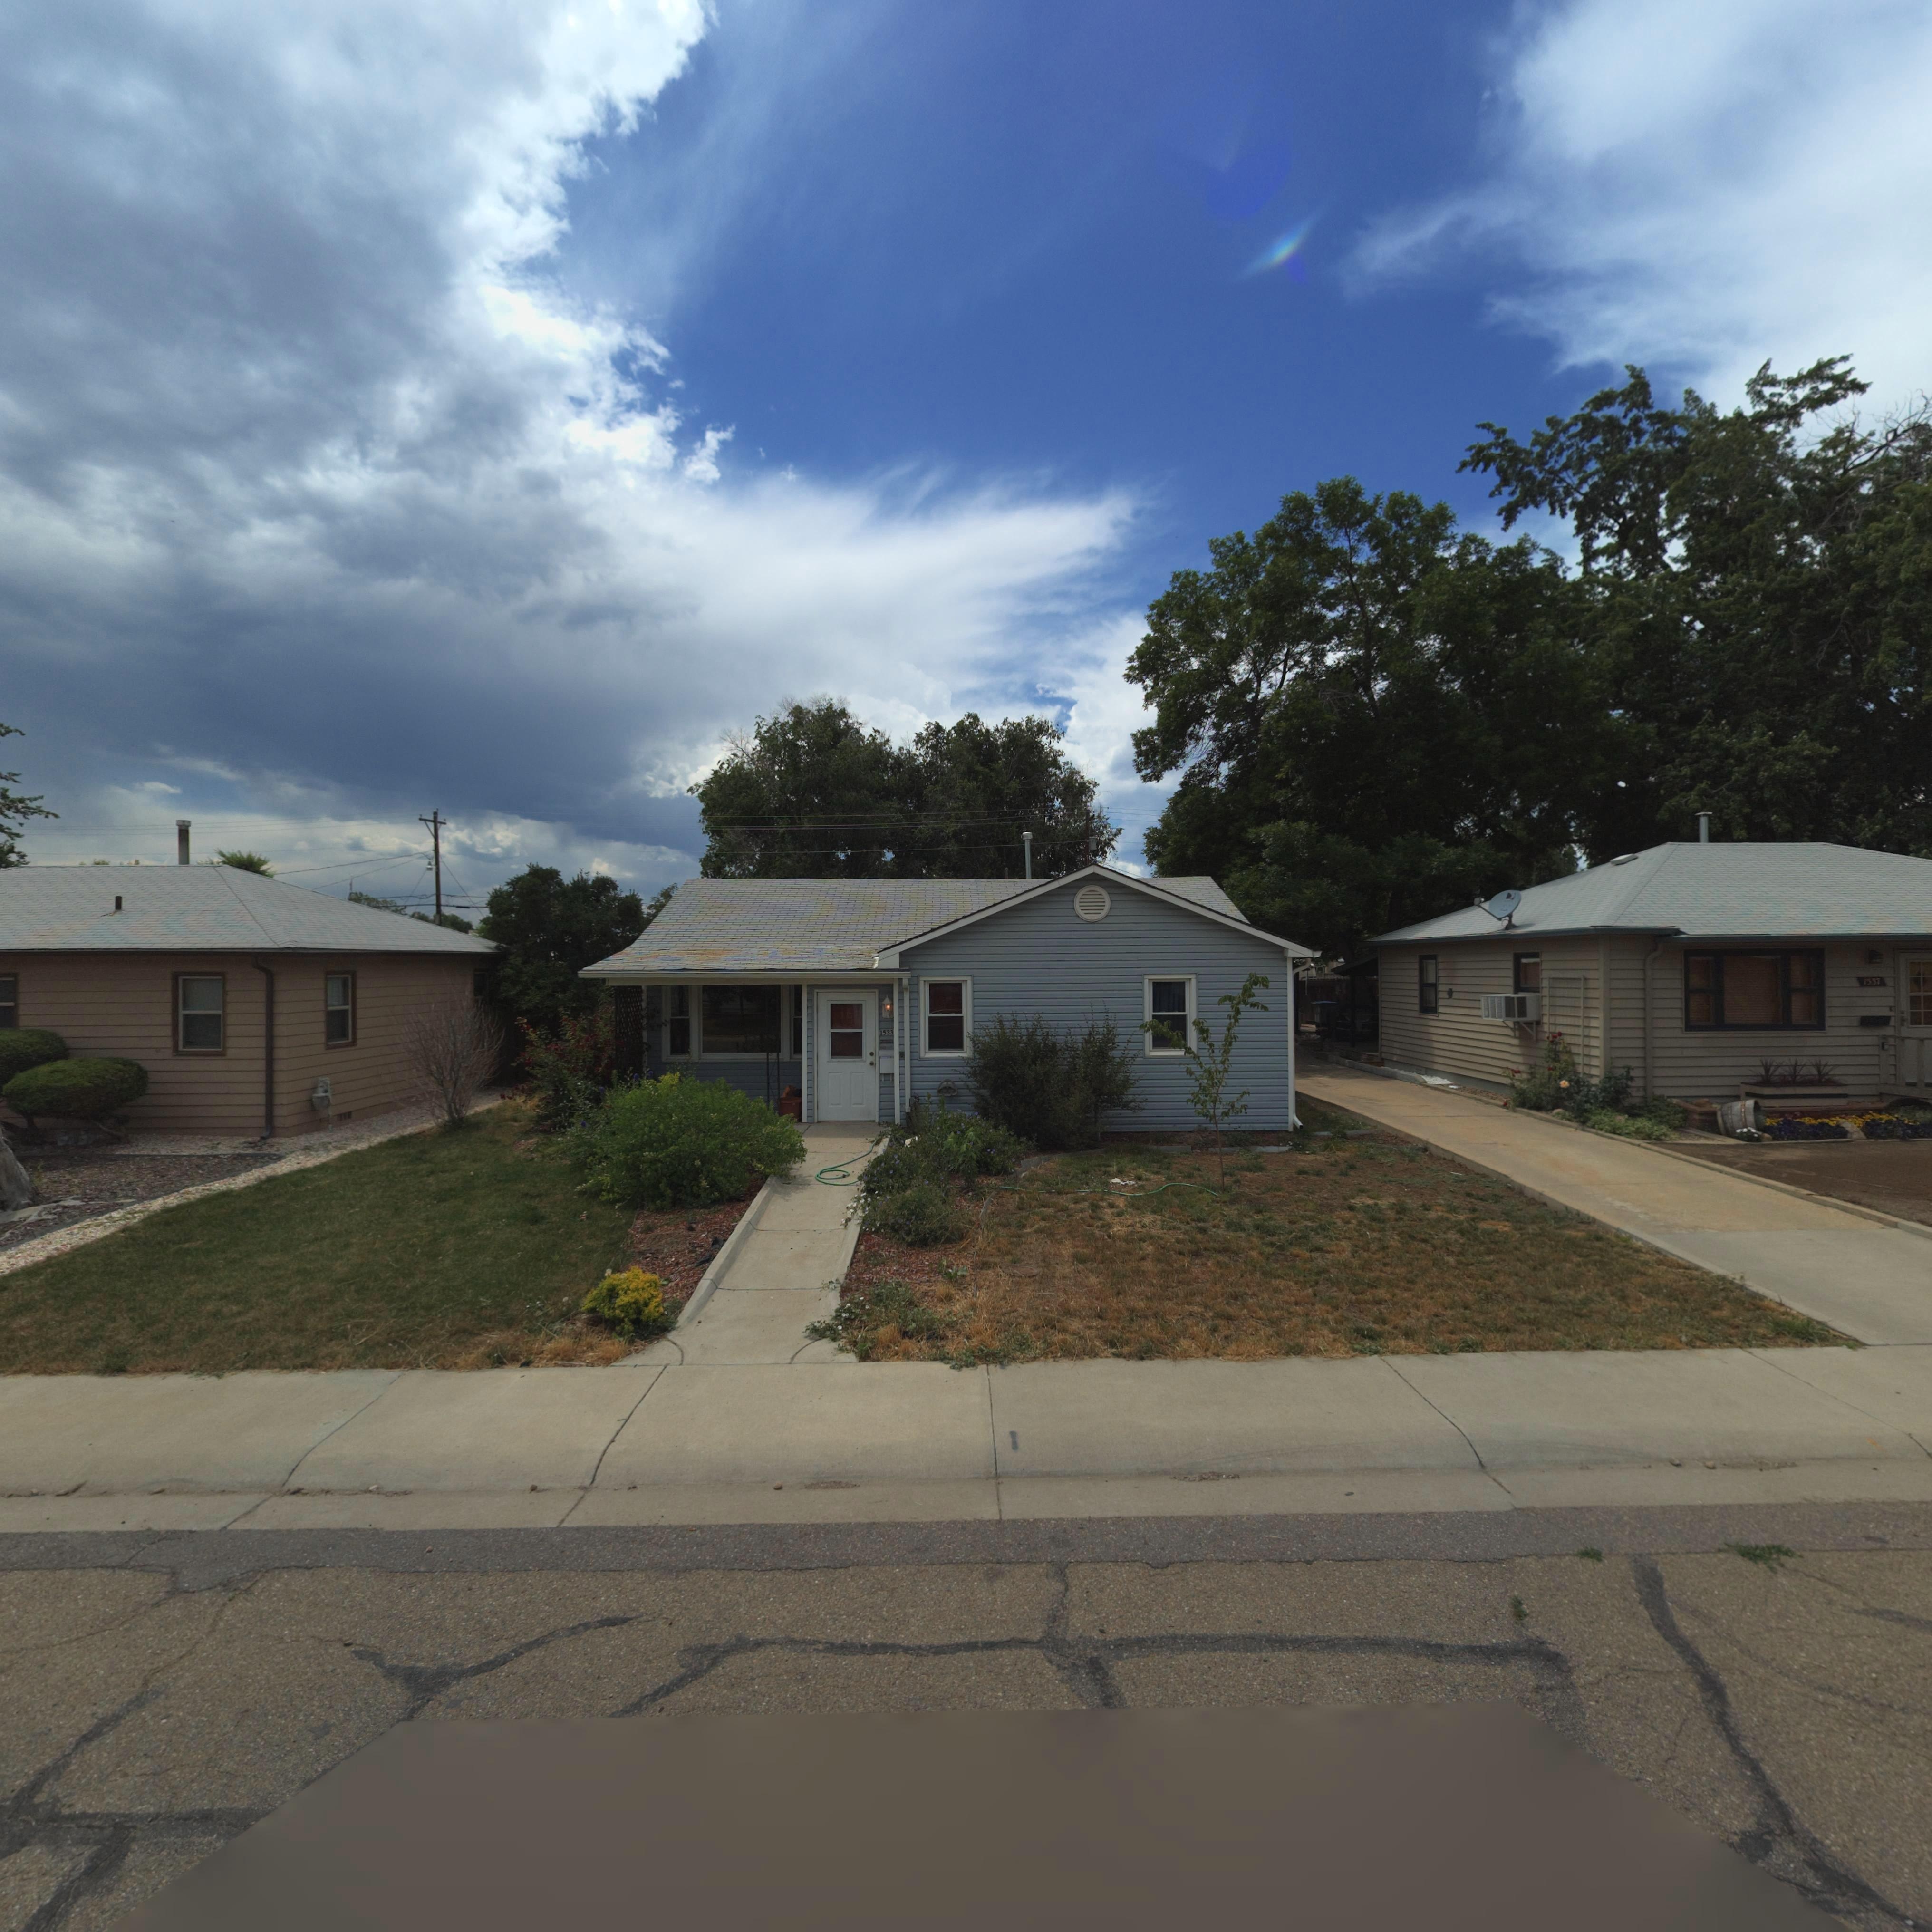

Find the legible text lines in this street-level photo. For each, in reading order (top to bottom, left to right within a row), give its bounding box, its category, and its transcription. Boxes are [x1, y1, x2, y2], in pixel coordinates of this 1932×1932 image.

[1862, 978, 1881, 985] StreetNumber: 1557
[879, 1030, 893, 1035] StreetNumber: 1533